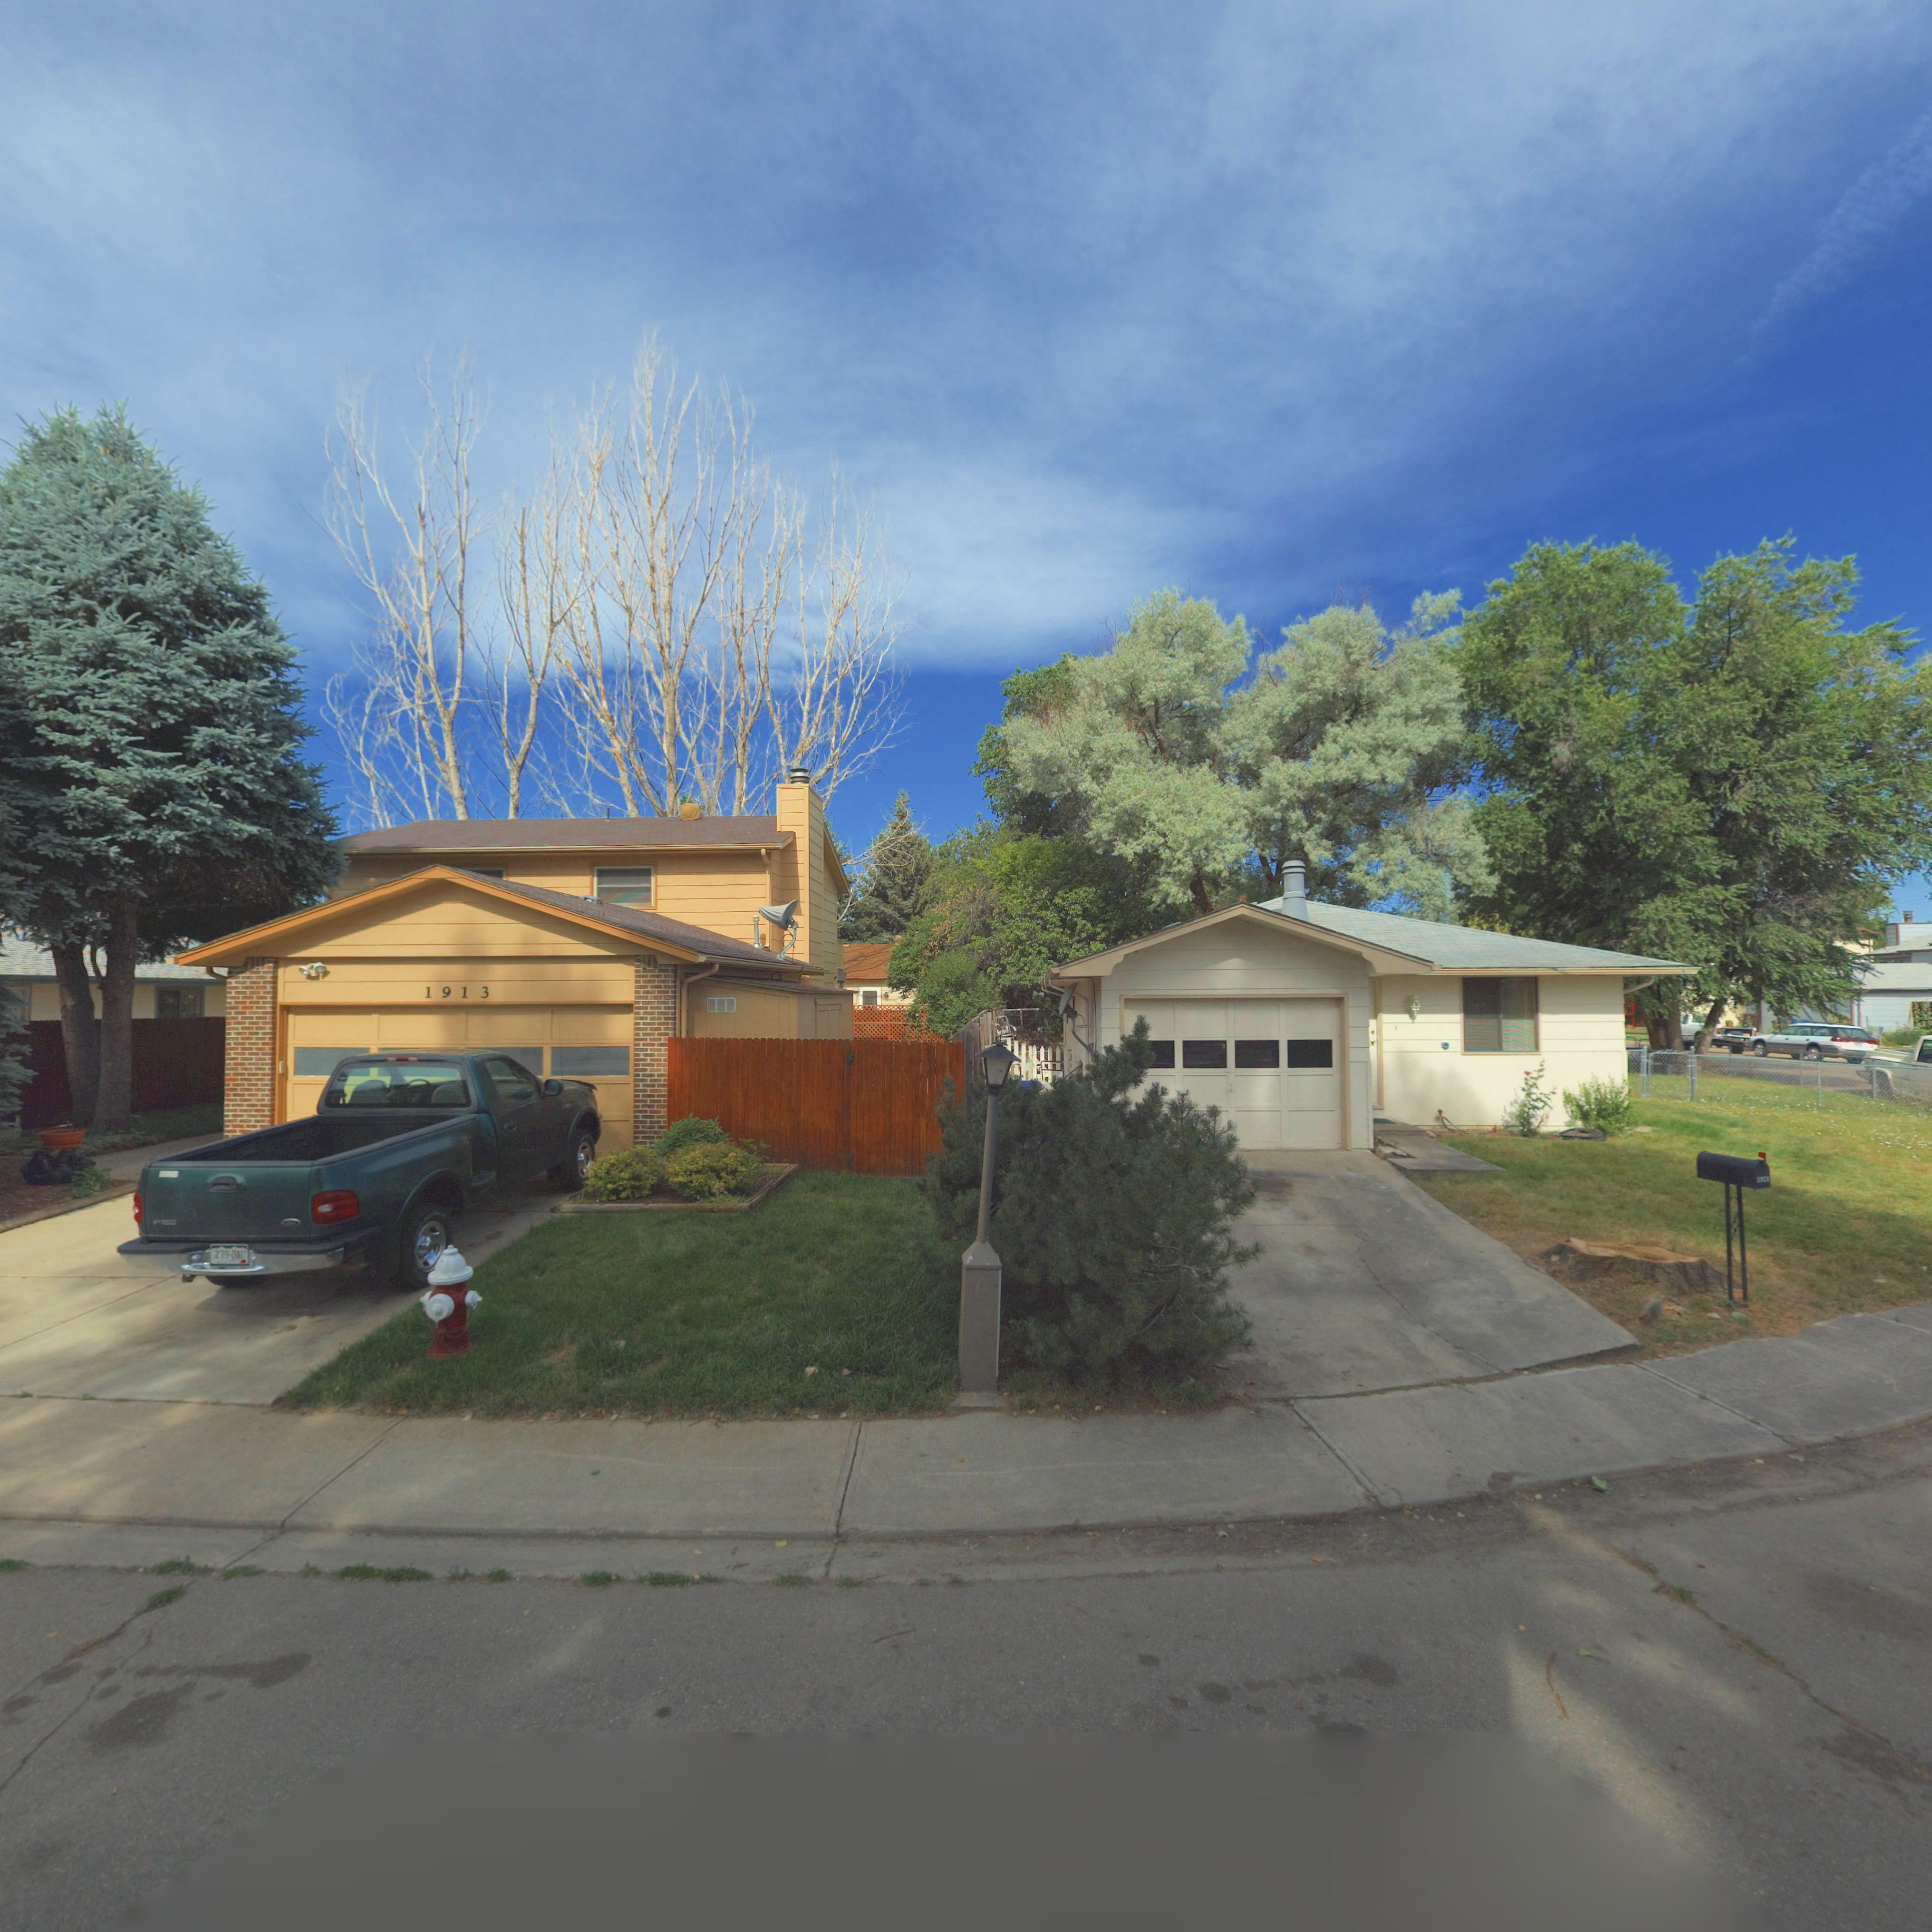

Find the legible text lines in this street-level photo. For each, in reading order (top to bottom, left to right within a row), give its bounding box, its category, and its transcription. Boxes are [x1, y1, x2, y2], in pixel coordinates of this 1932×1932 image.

[425, 985, 489, 998] StreetNumber: 1913
[1756, 1175, 1770, 1183] StreetNumber: 1**1